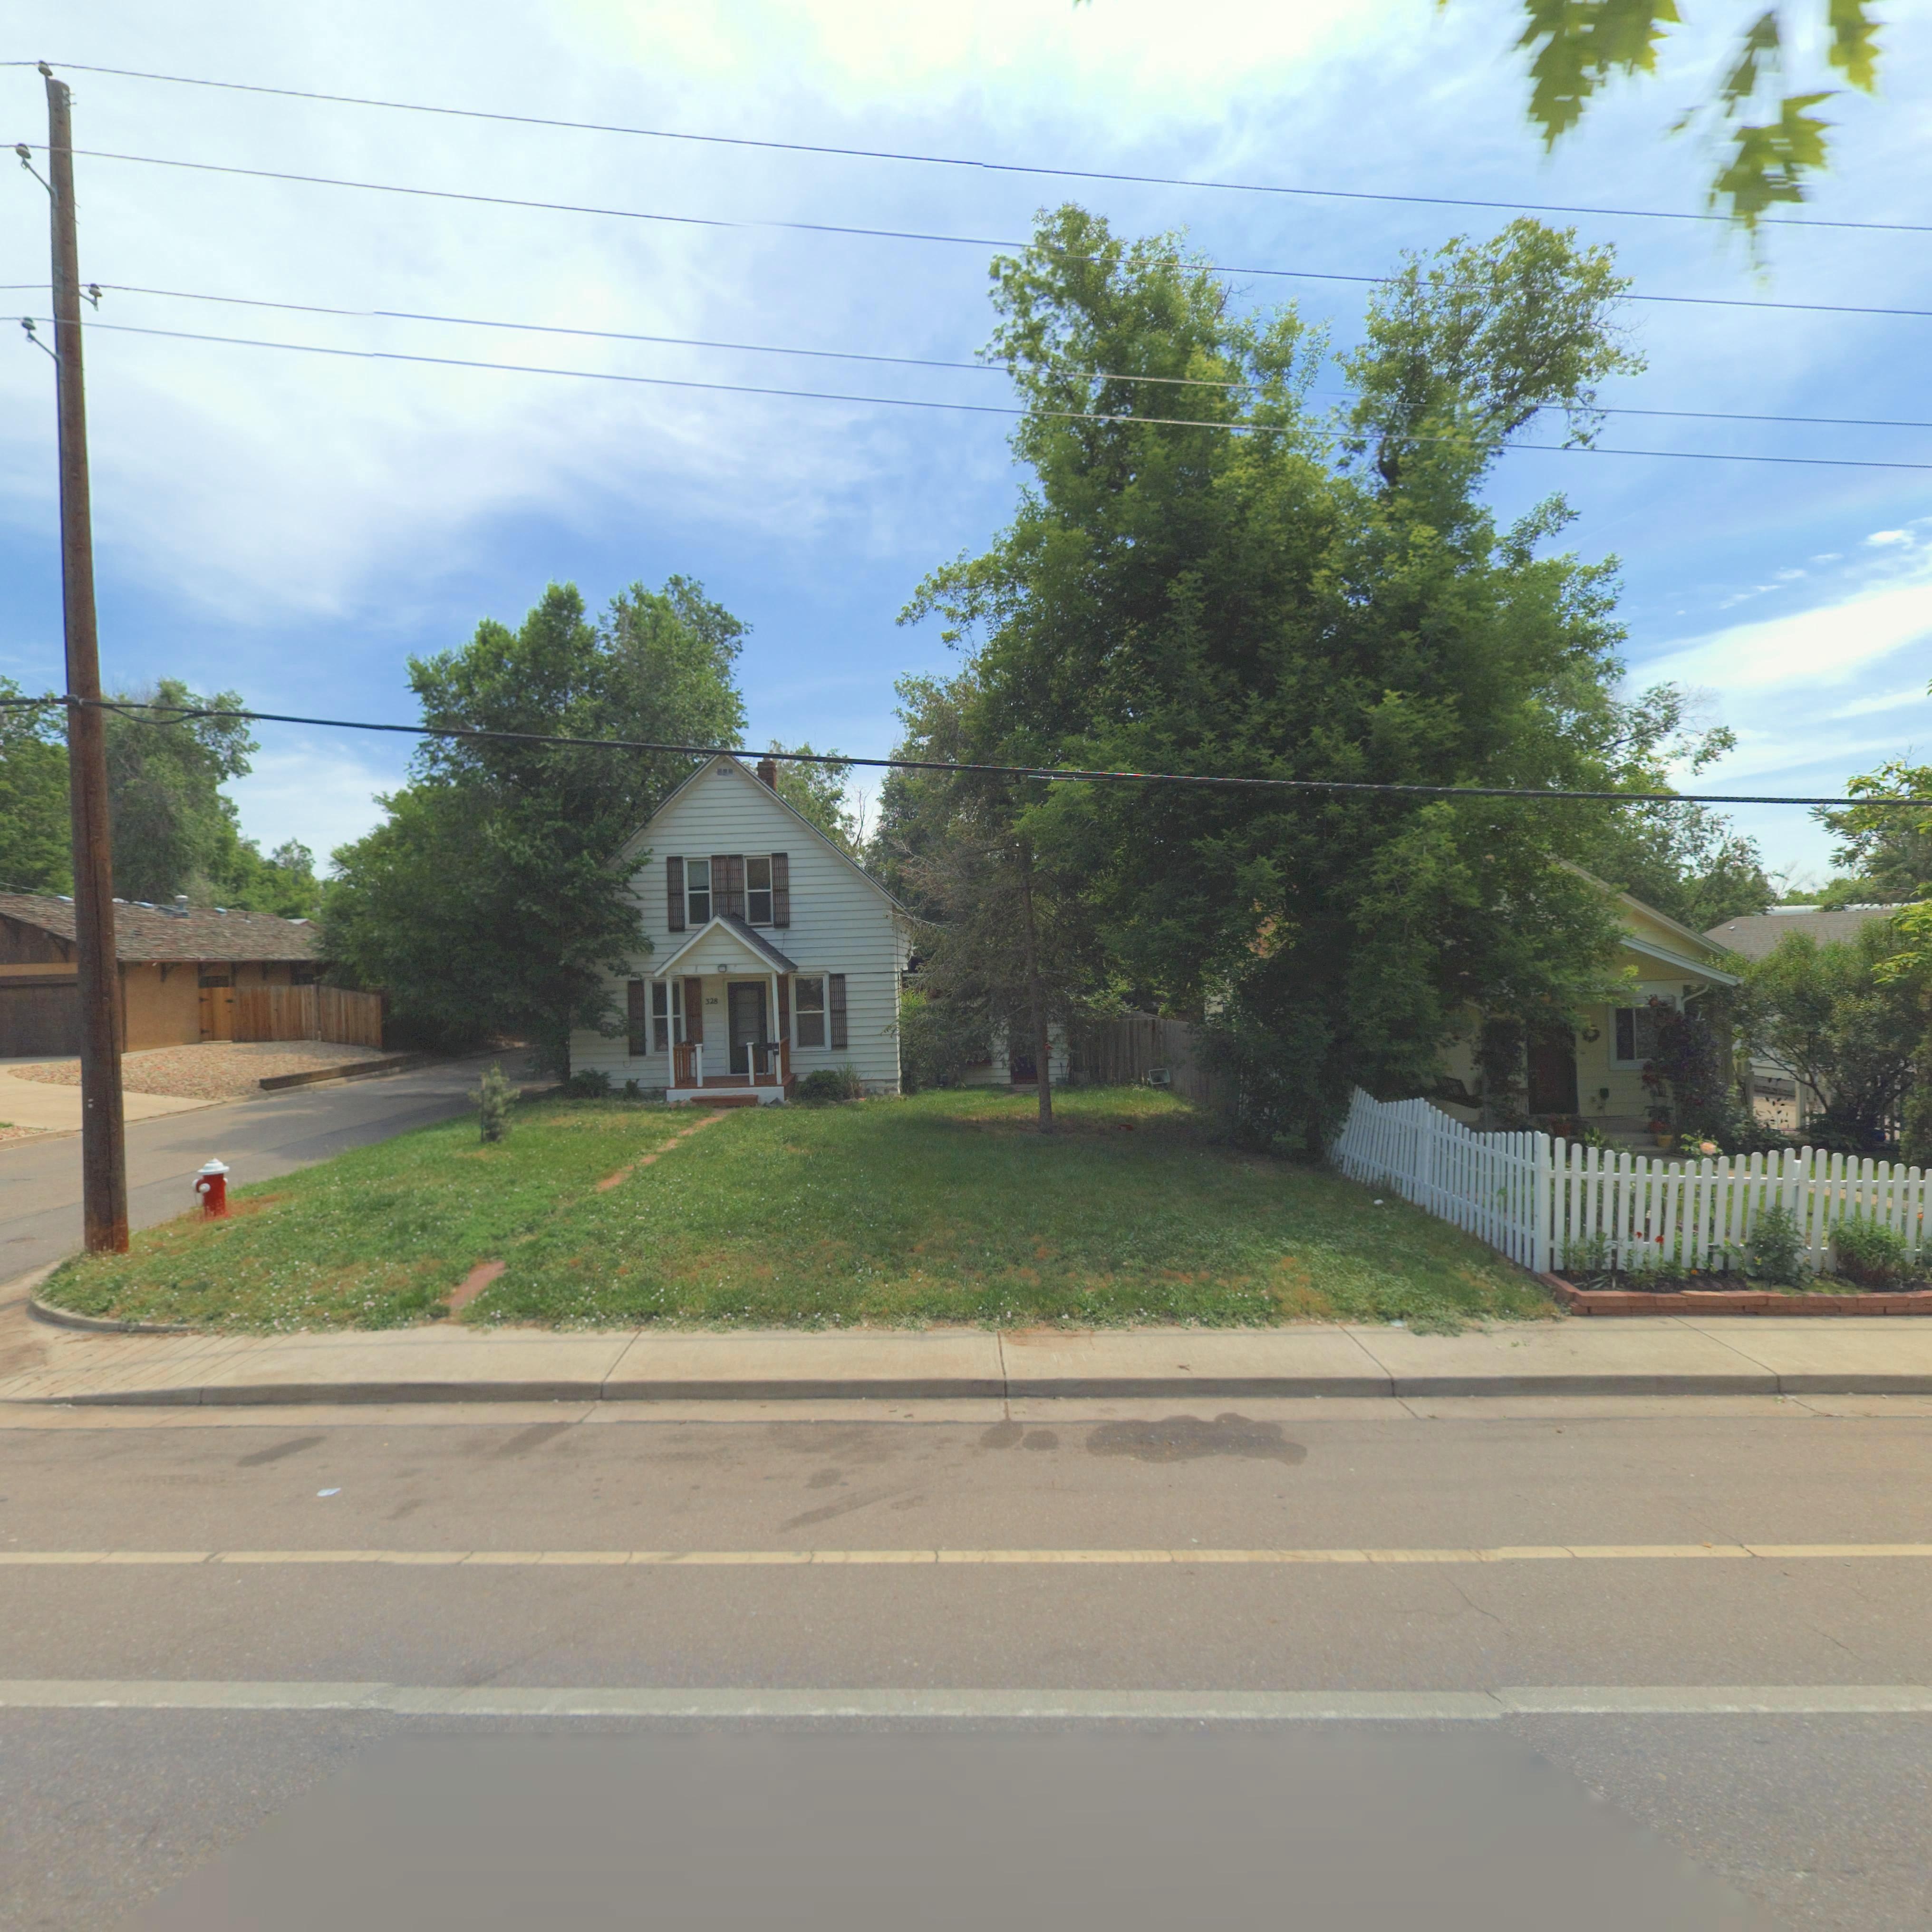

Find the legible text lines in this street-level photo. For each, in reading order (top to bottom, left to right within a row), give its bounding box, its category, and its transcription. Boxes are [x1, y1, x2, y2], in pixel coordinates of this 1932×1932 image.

[705, 996, 719, 1005] StreetNumber: 328